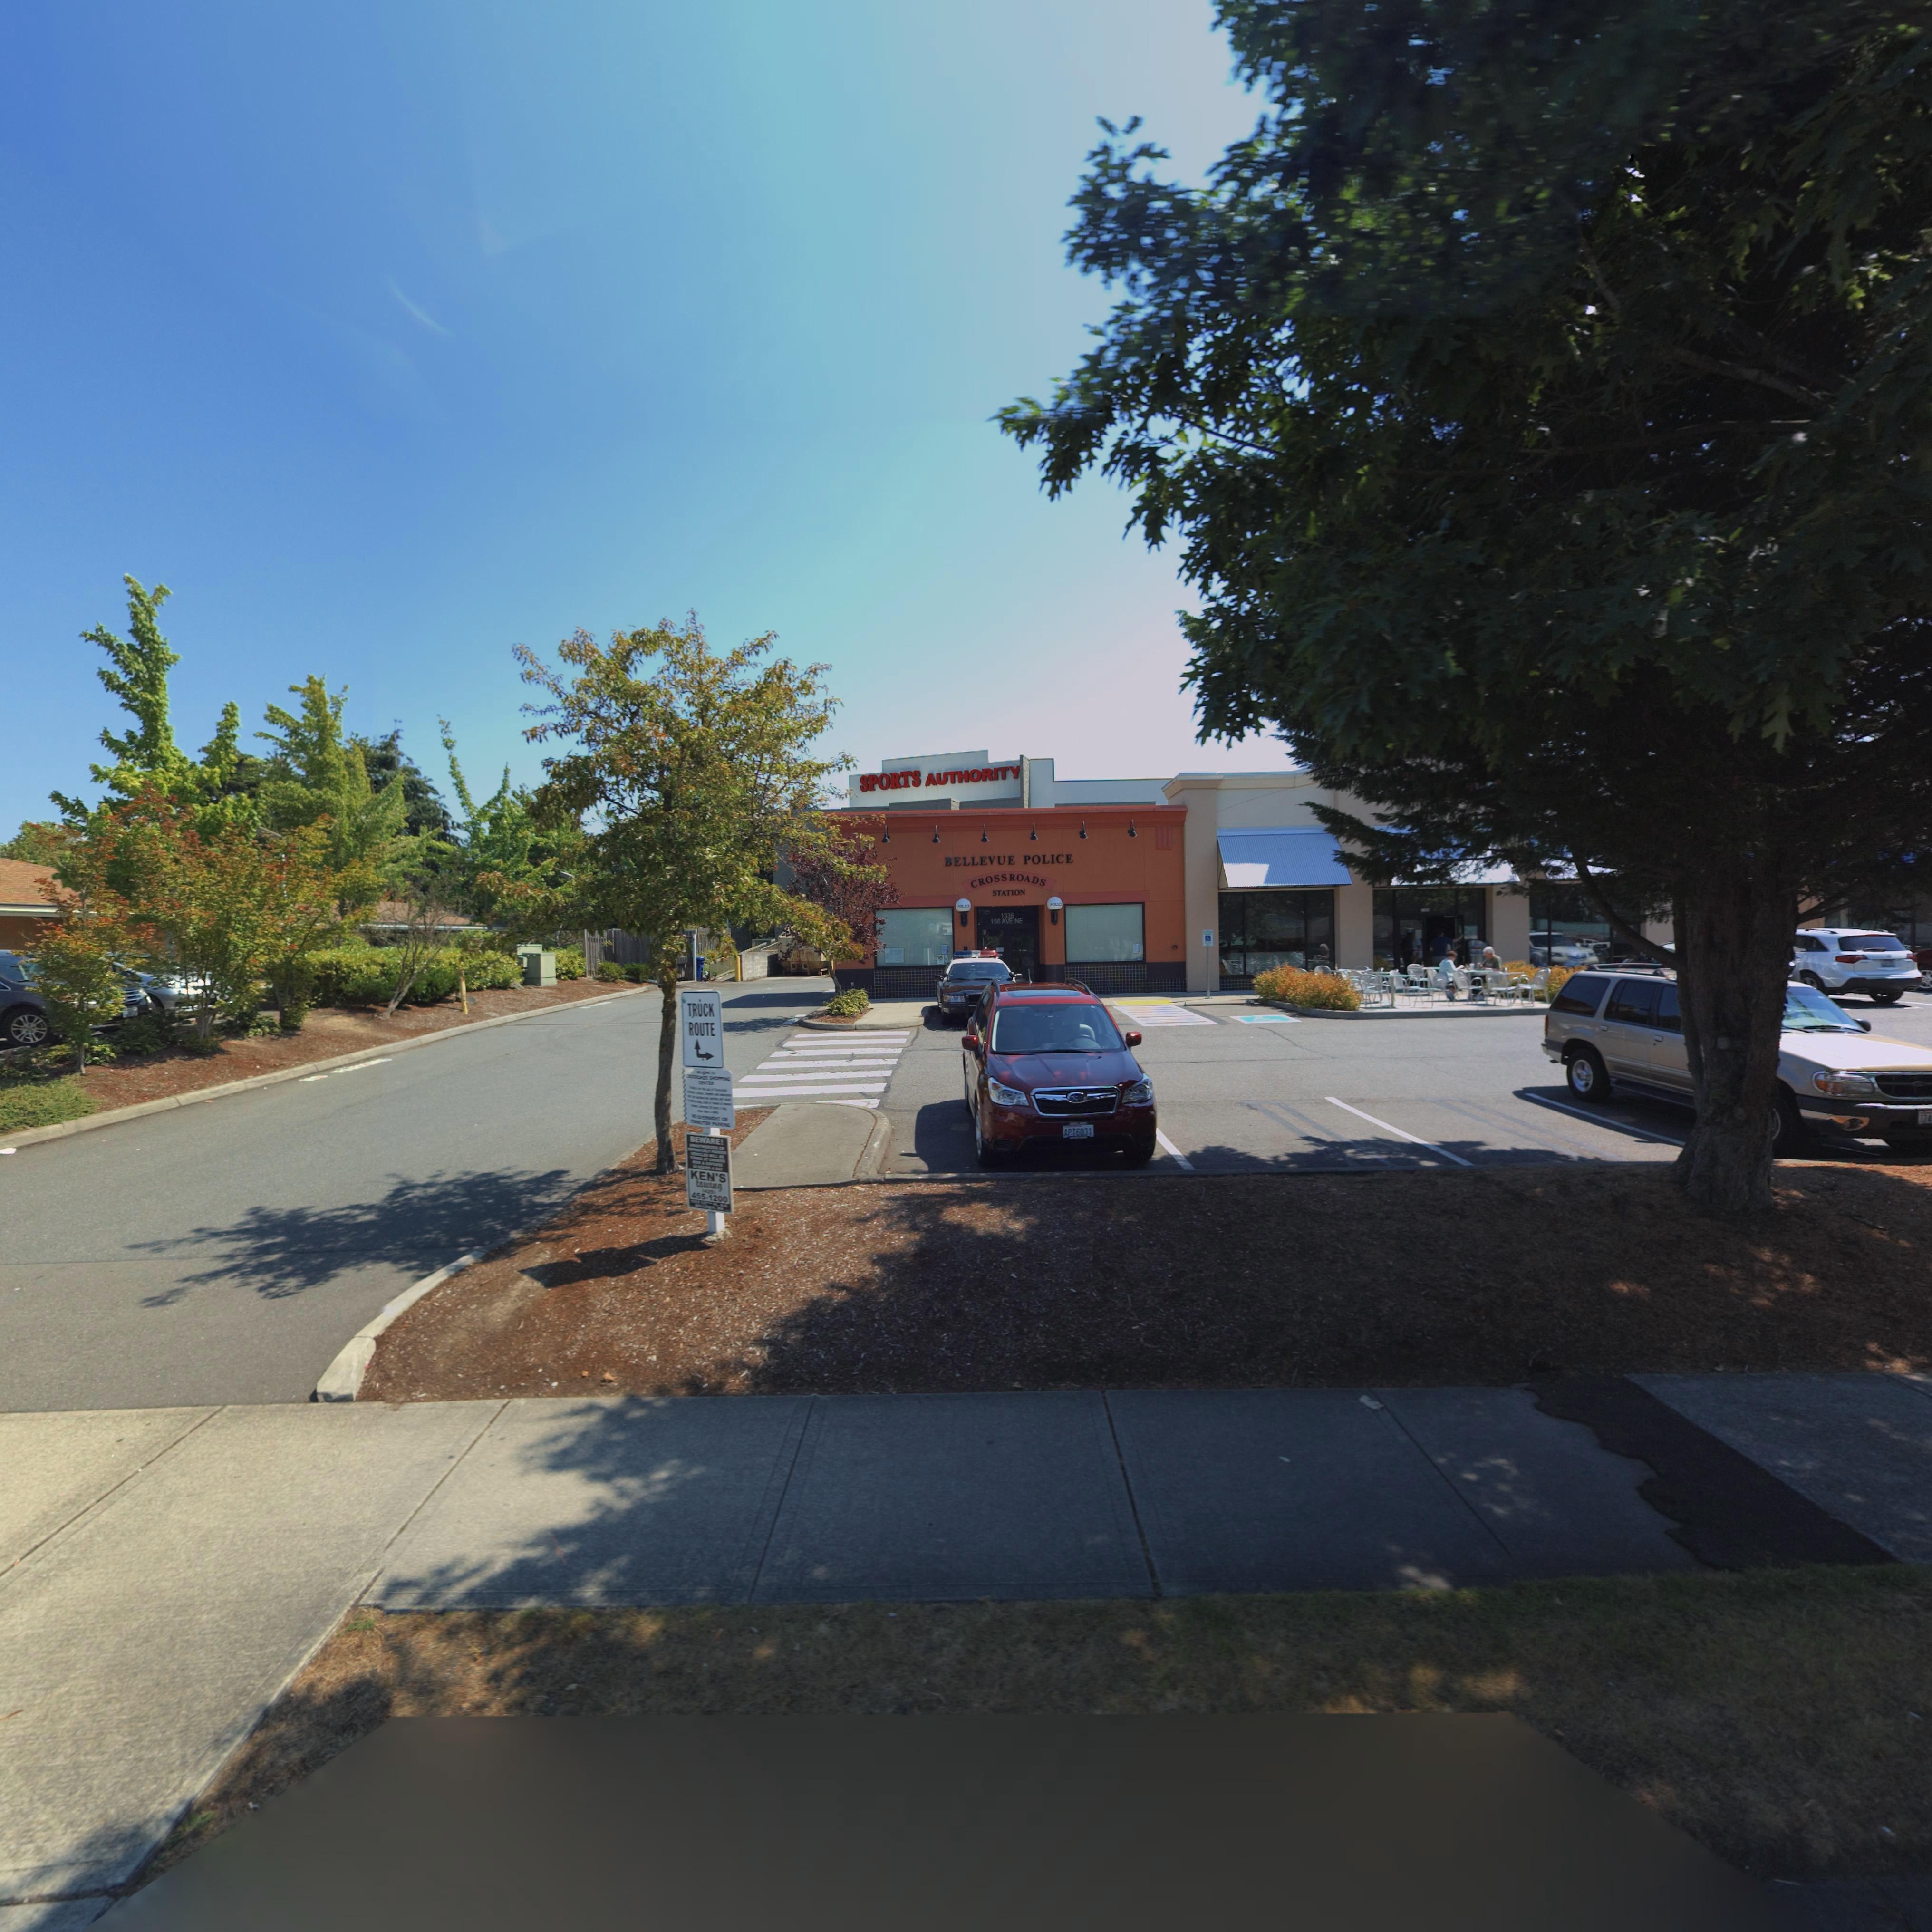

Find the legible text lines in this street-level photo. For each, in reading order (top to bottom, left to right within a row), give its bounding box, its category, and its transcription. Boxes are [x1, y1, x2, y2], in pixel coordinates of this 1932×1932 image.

[859, 769, 921, 792] BusinessName: SPORTS
[924, 764, 1022, 786] BusinessName: AUTHORITY
[945, 853, 1073, 867] BusinessName: BELLEVUE POLICE
[991, 917, 1023, 925] StreetName: 156 AVE NE
[1001, 911, 1014, 918] StreetNumber: 1336